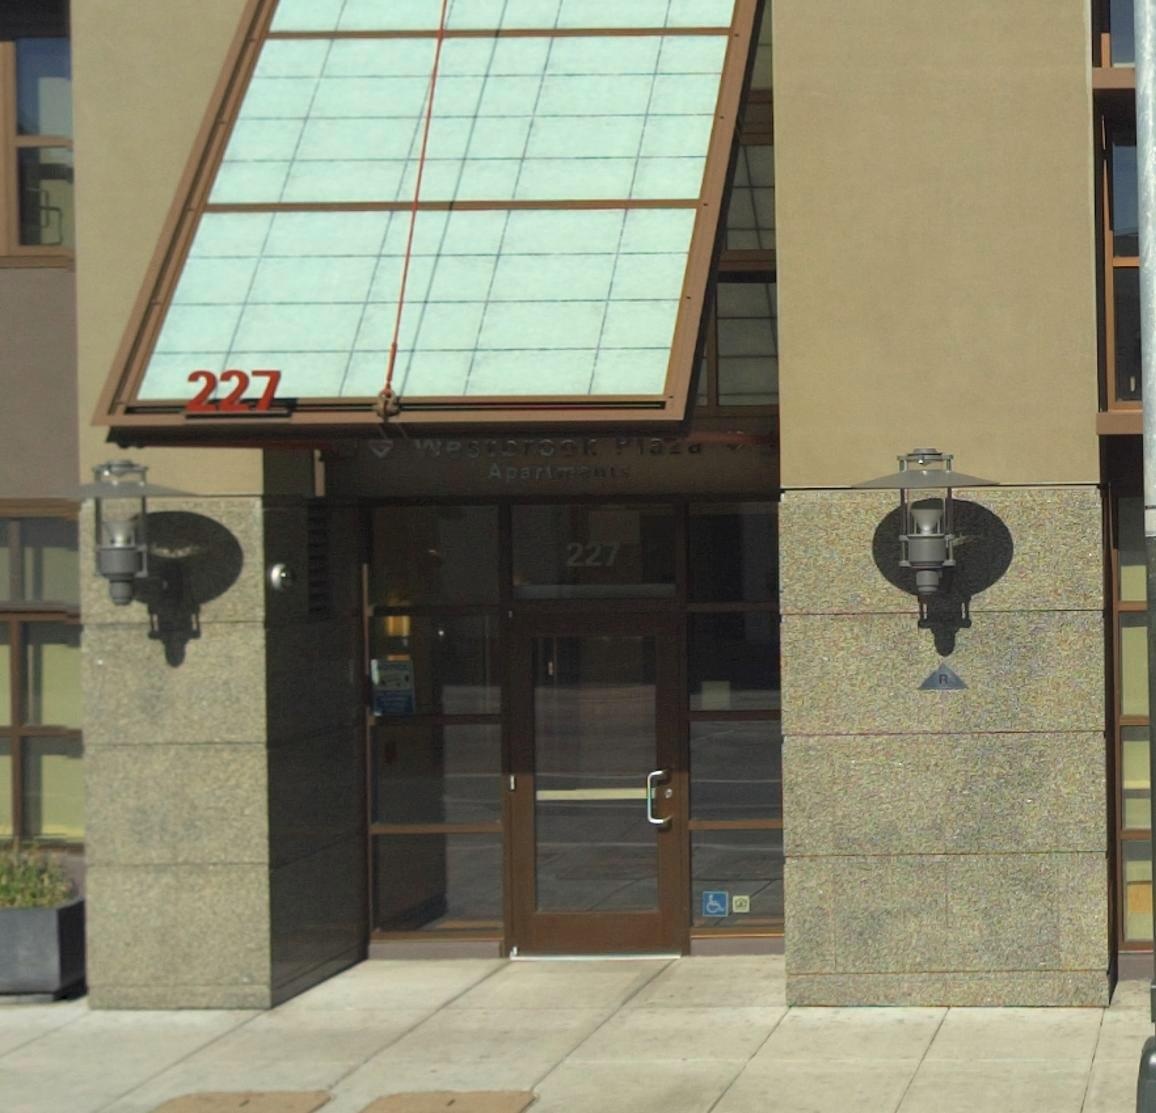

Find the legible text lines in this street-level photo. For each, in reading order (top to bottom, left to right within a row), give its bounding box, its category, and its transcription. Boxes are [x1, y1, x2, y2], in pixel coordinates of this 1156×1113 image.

[182, 368, 287, 414] StreetNumber: 227
[412, 433, 706, 461] BusinessName: Wes**rook Pla**
[484, 458, 633, 485] BusinessName: Apartments
[565, 540, 622, 569] StreetNumber: 227
[938, 672, 950, 685] None: R